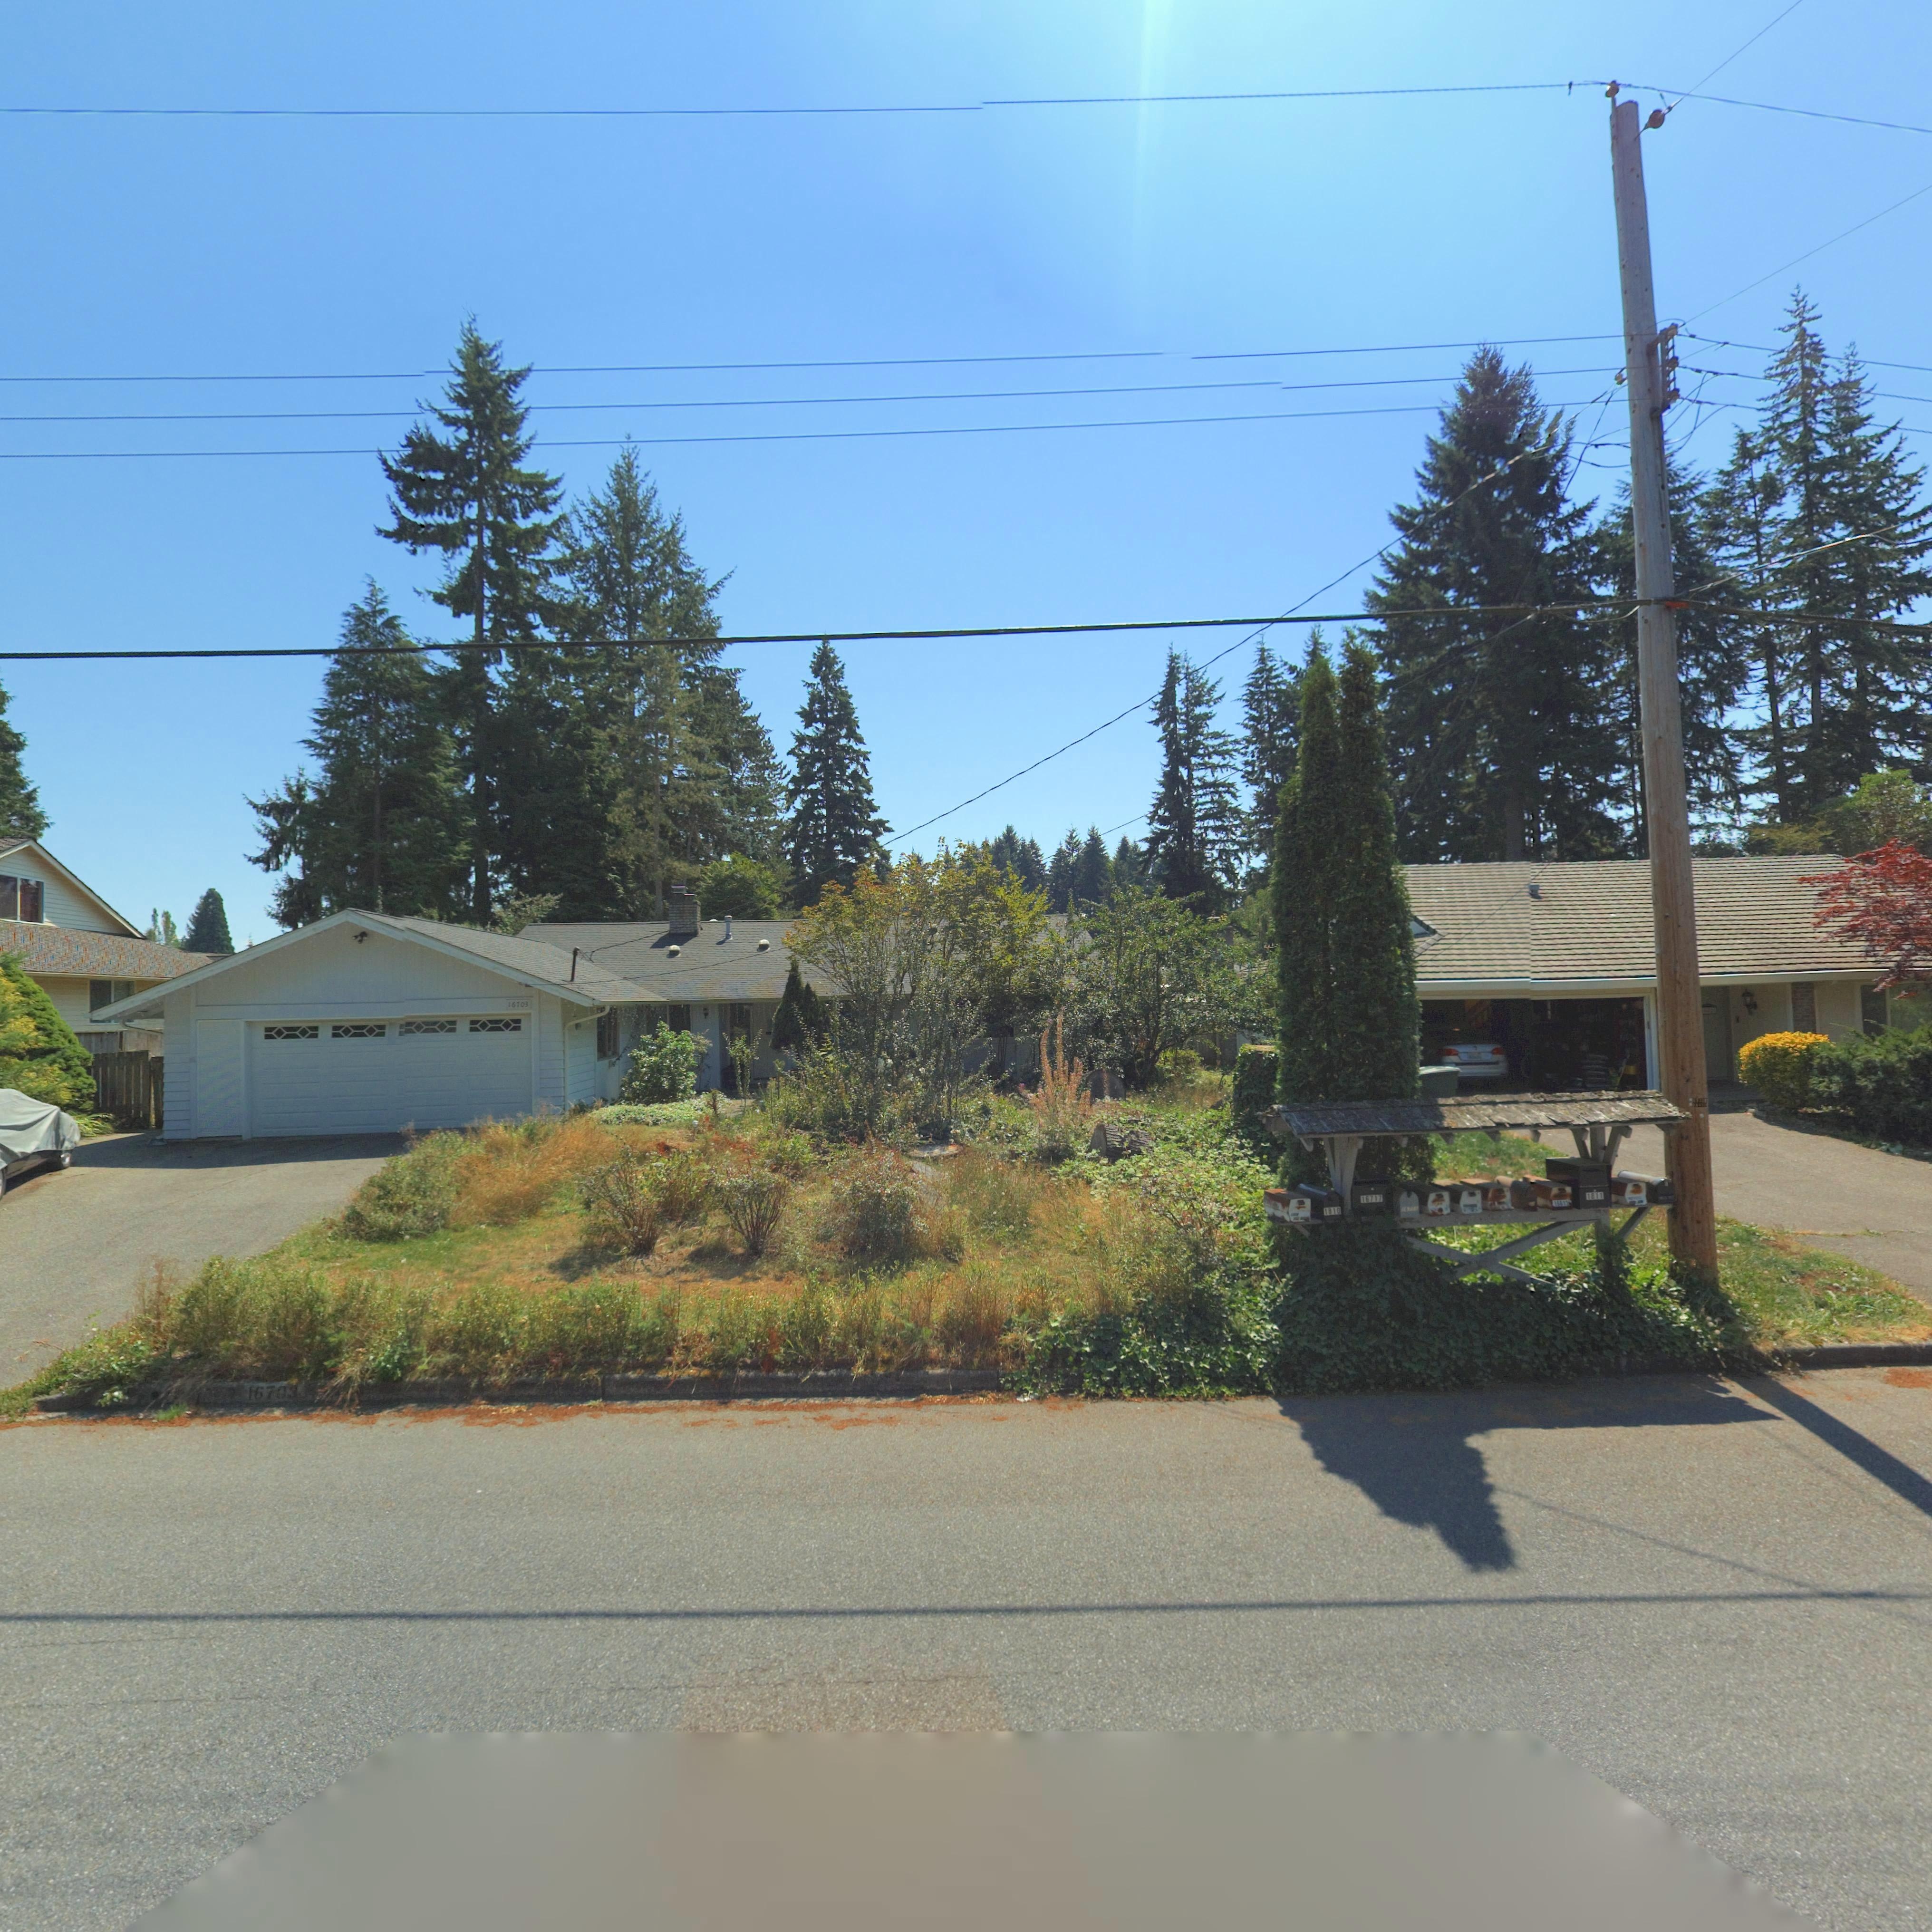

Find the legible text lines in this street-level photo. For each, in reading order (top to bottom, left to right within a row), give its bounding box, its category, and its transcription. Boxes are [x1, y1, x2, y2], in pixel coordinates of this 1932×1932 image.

[1360, 1193, 1382, 1202] StreetNumber: 16717
[1587, 1192, 1604, 1199] StreetNumber: 1811
[1324, 1207, 1340, 1215] StreetNumber: 1810